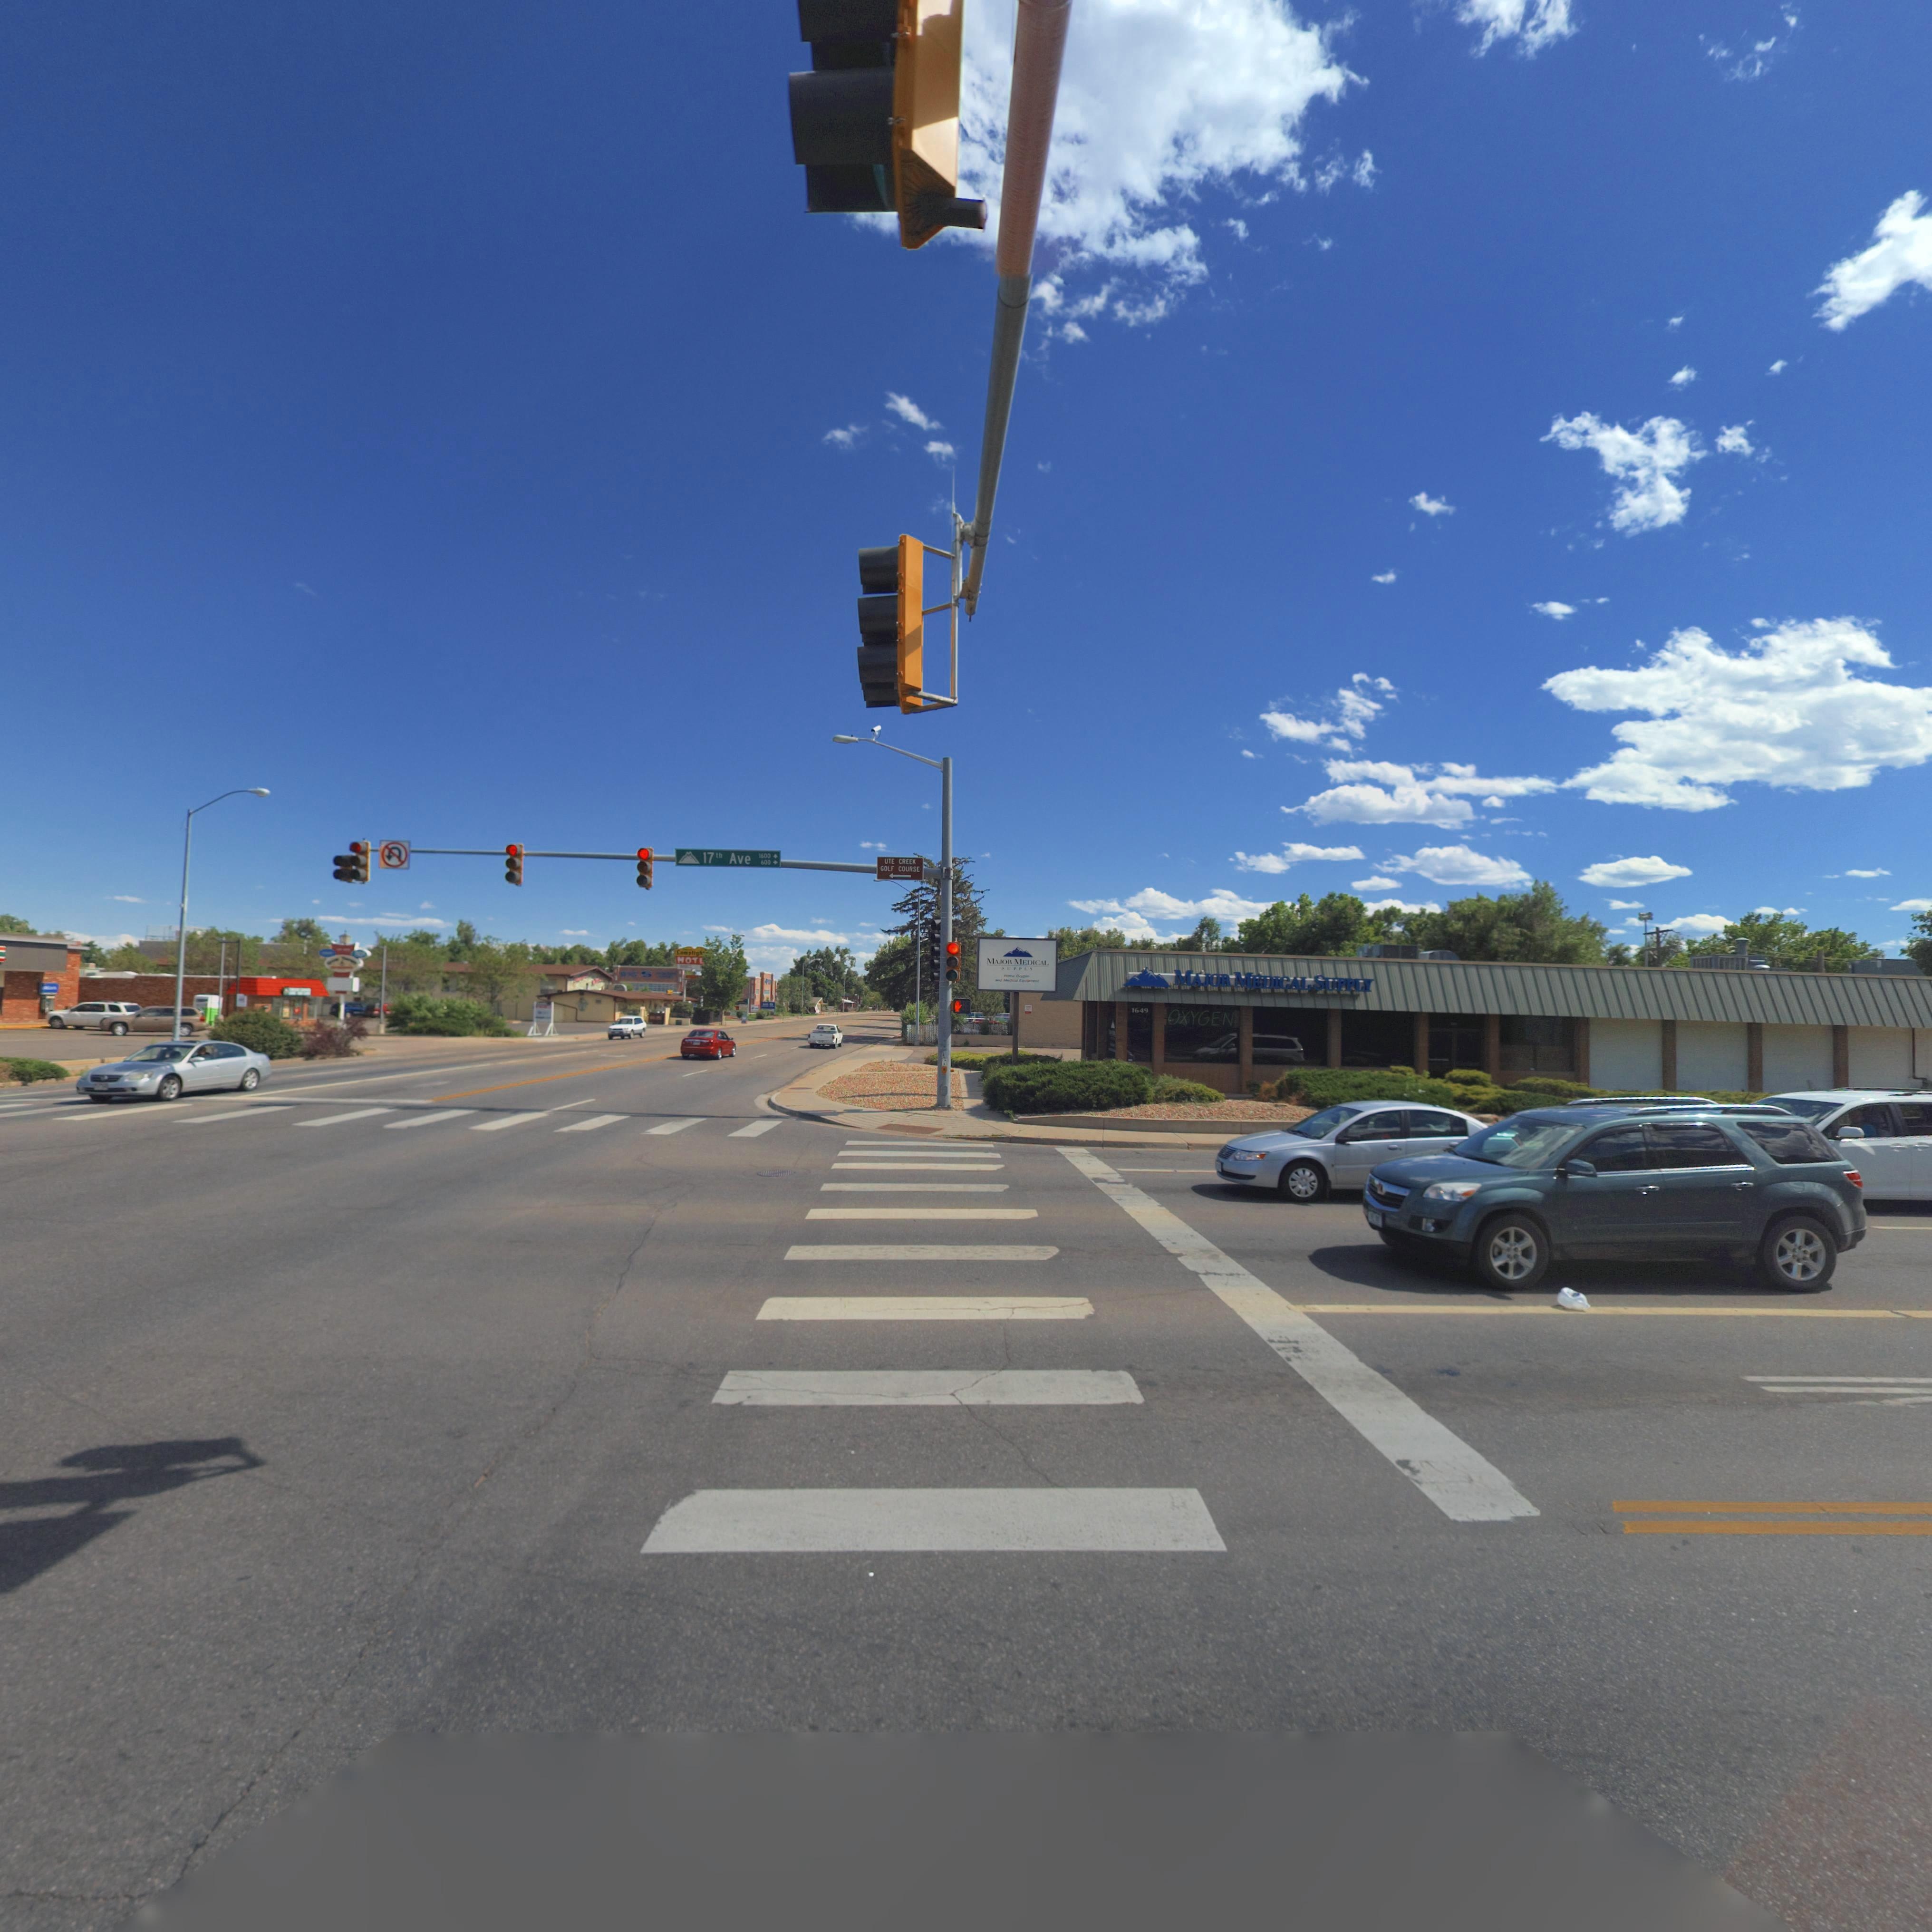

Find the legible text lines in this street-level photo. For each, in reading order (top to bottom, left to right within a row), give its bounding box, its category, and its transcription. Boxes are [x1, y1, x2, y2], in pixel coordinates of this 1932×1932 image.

[702, 851, 752, 865] StreetName: 17th Ave
[758, 853, 771, 859] StreetNumberRange: 1600
[760, 859, 779, 865] StreetNumberRange: 600 ->
[676, 949, 711, 956] BusinessName: Lampligh***
[326, 956, 357, 966] BusinessName: G**** T******
[677, 956, 713, 964] BusinessName: MOT**
[986, 957, 1049, 966] BusinessName: MAJOR MEDICAL
[1001, 966, 1033, 971] BusinessName: SUPPLY
[1172, 968, 1375, 993] BusinessName: MAJOR MEDICAL SUPPLY
[1131, 1007, 1149, 1014] StreetNumber: 1649